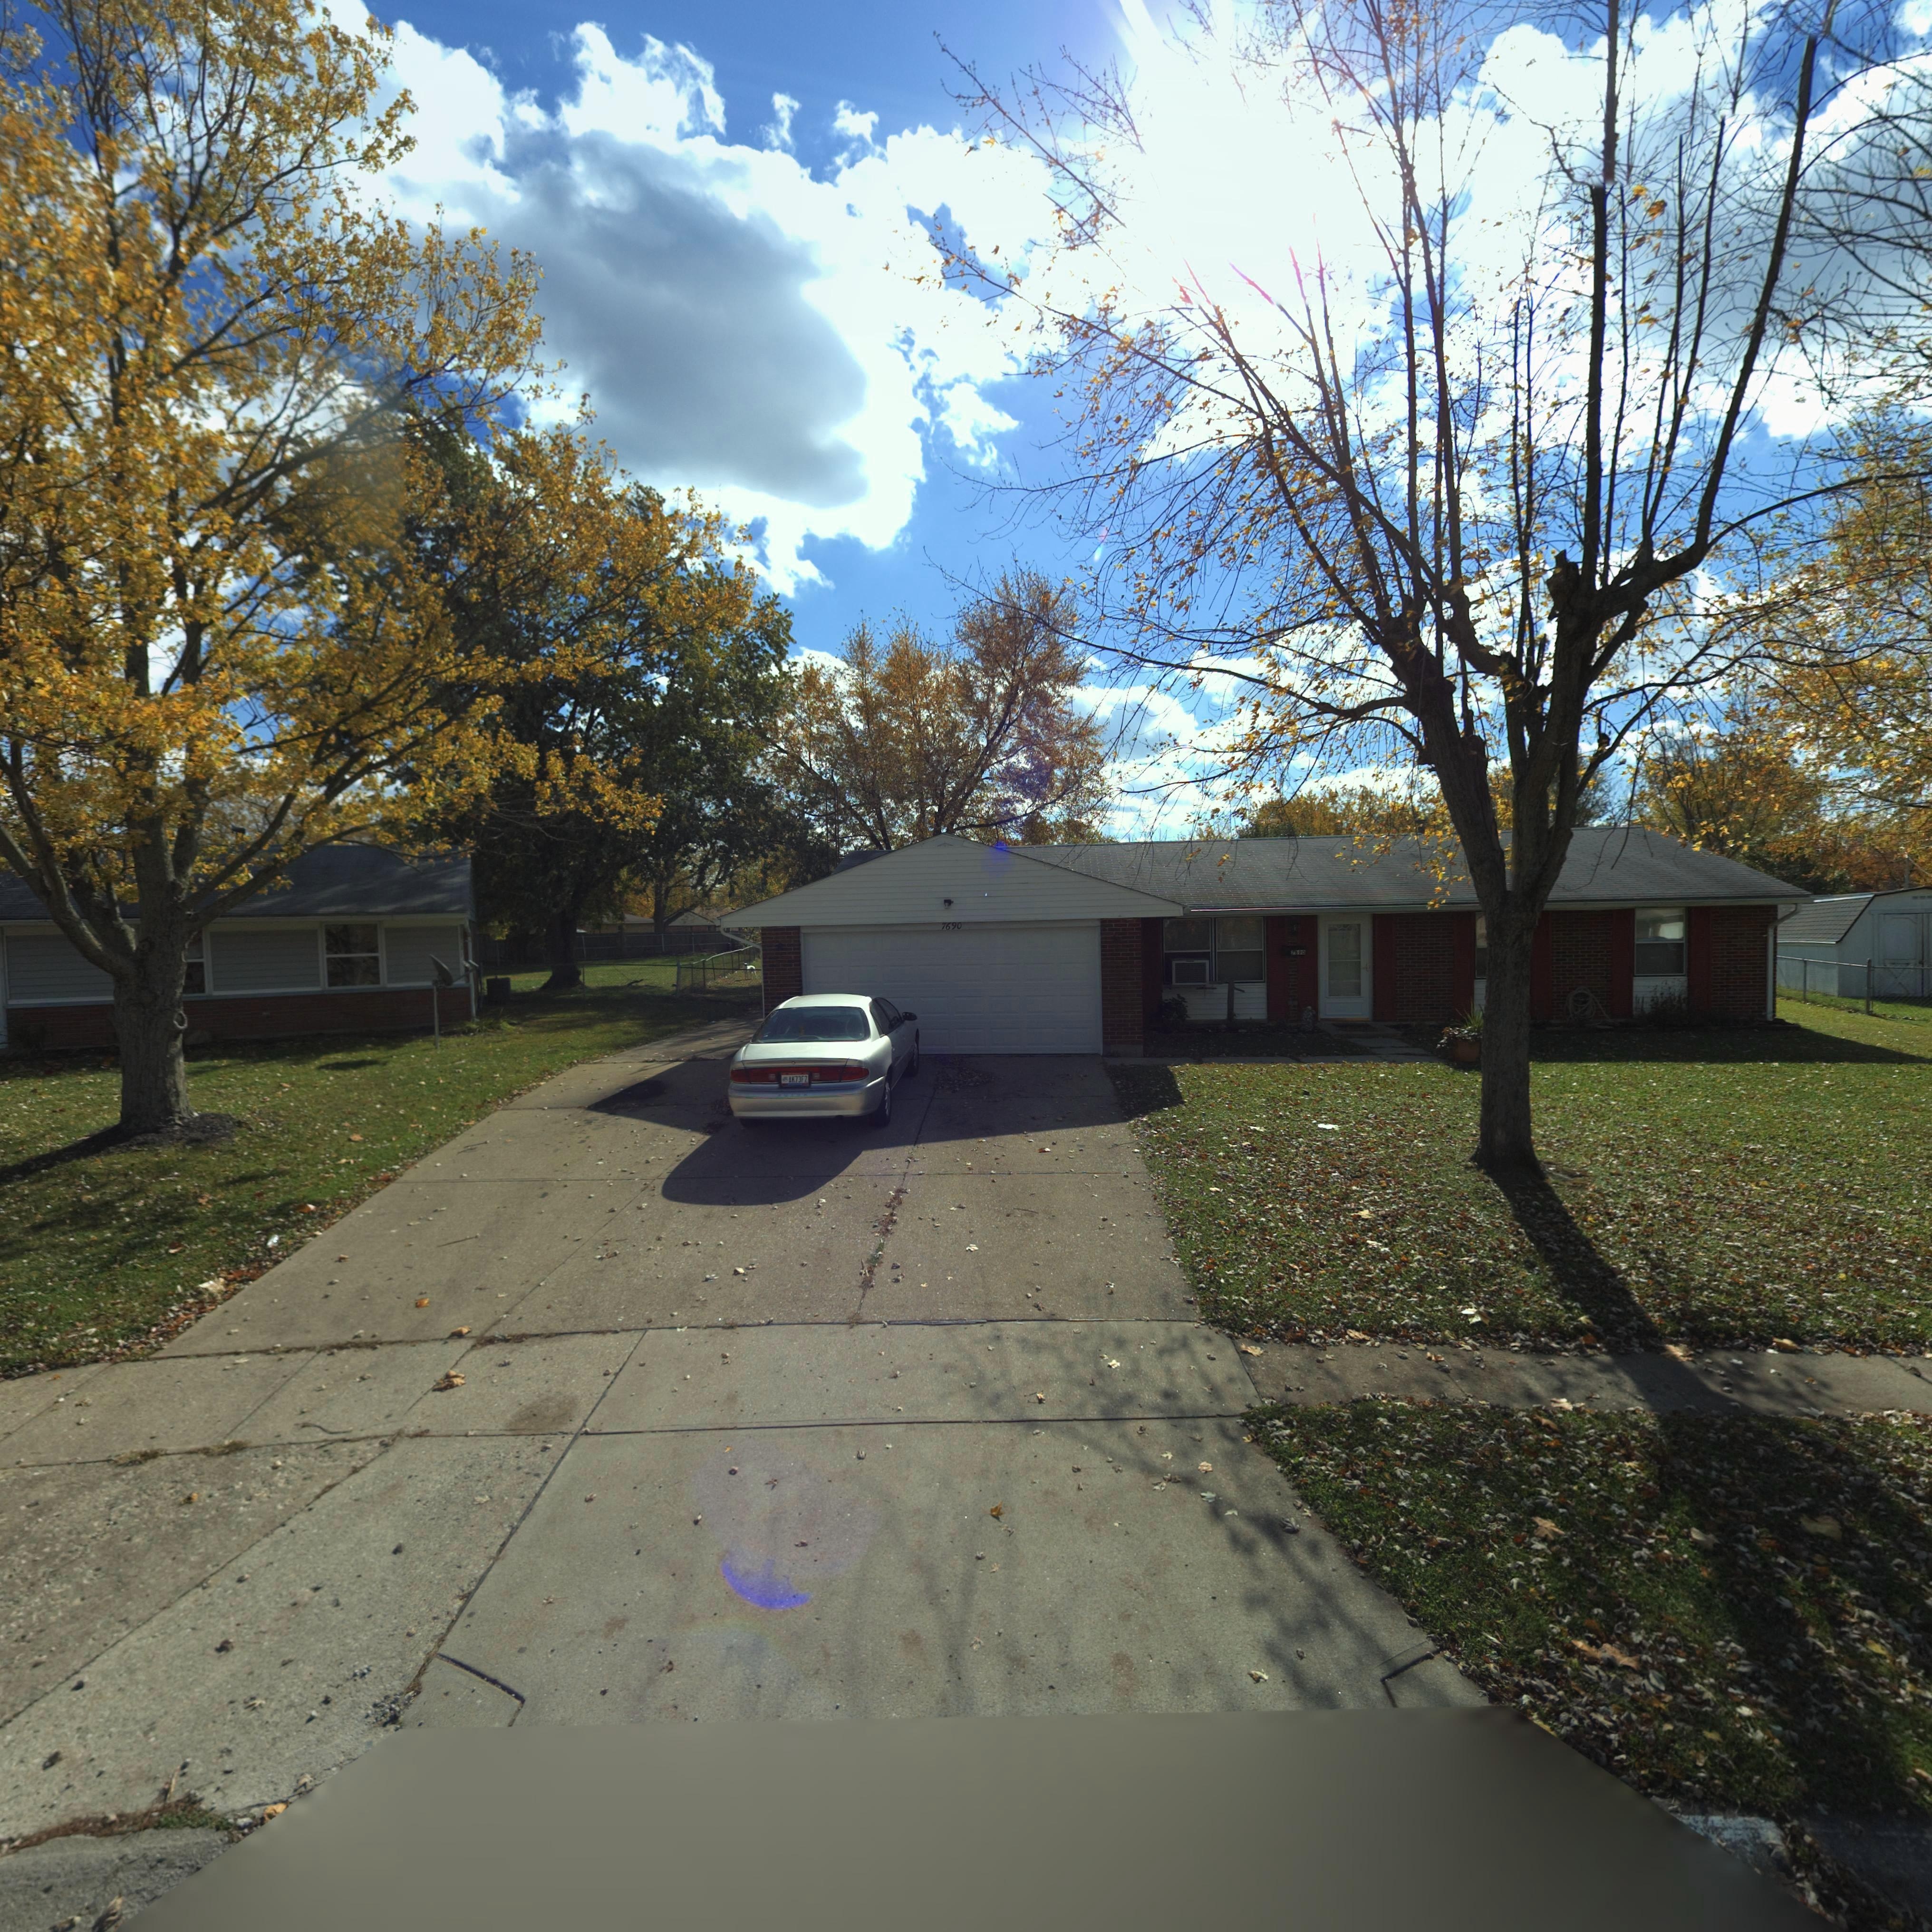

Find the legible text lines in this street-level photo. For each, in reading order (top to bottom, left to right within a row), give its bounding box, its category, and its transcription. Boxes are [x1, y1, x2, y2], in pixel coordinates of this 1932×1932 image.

[941, 922, 962, 930] StreetNumber: 7690
[1291, 950, 1305, 955] StreetNumber: 7690